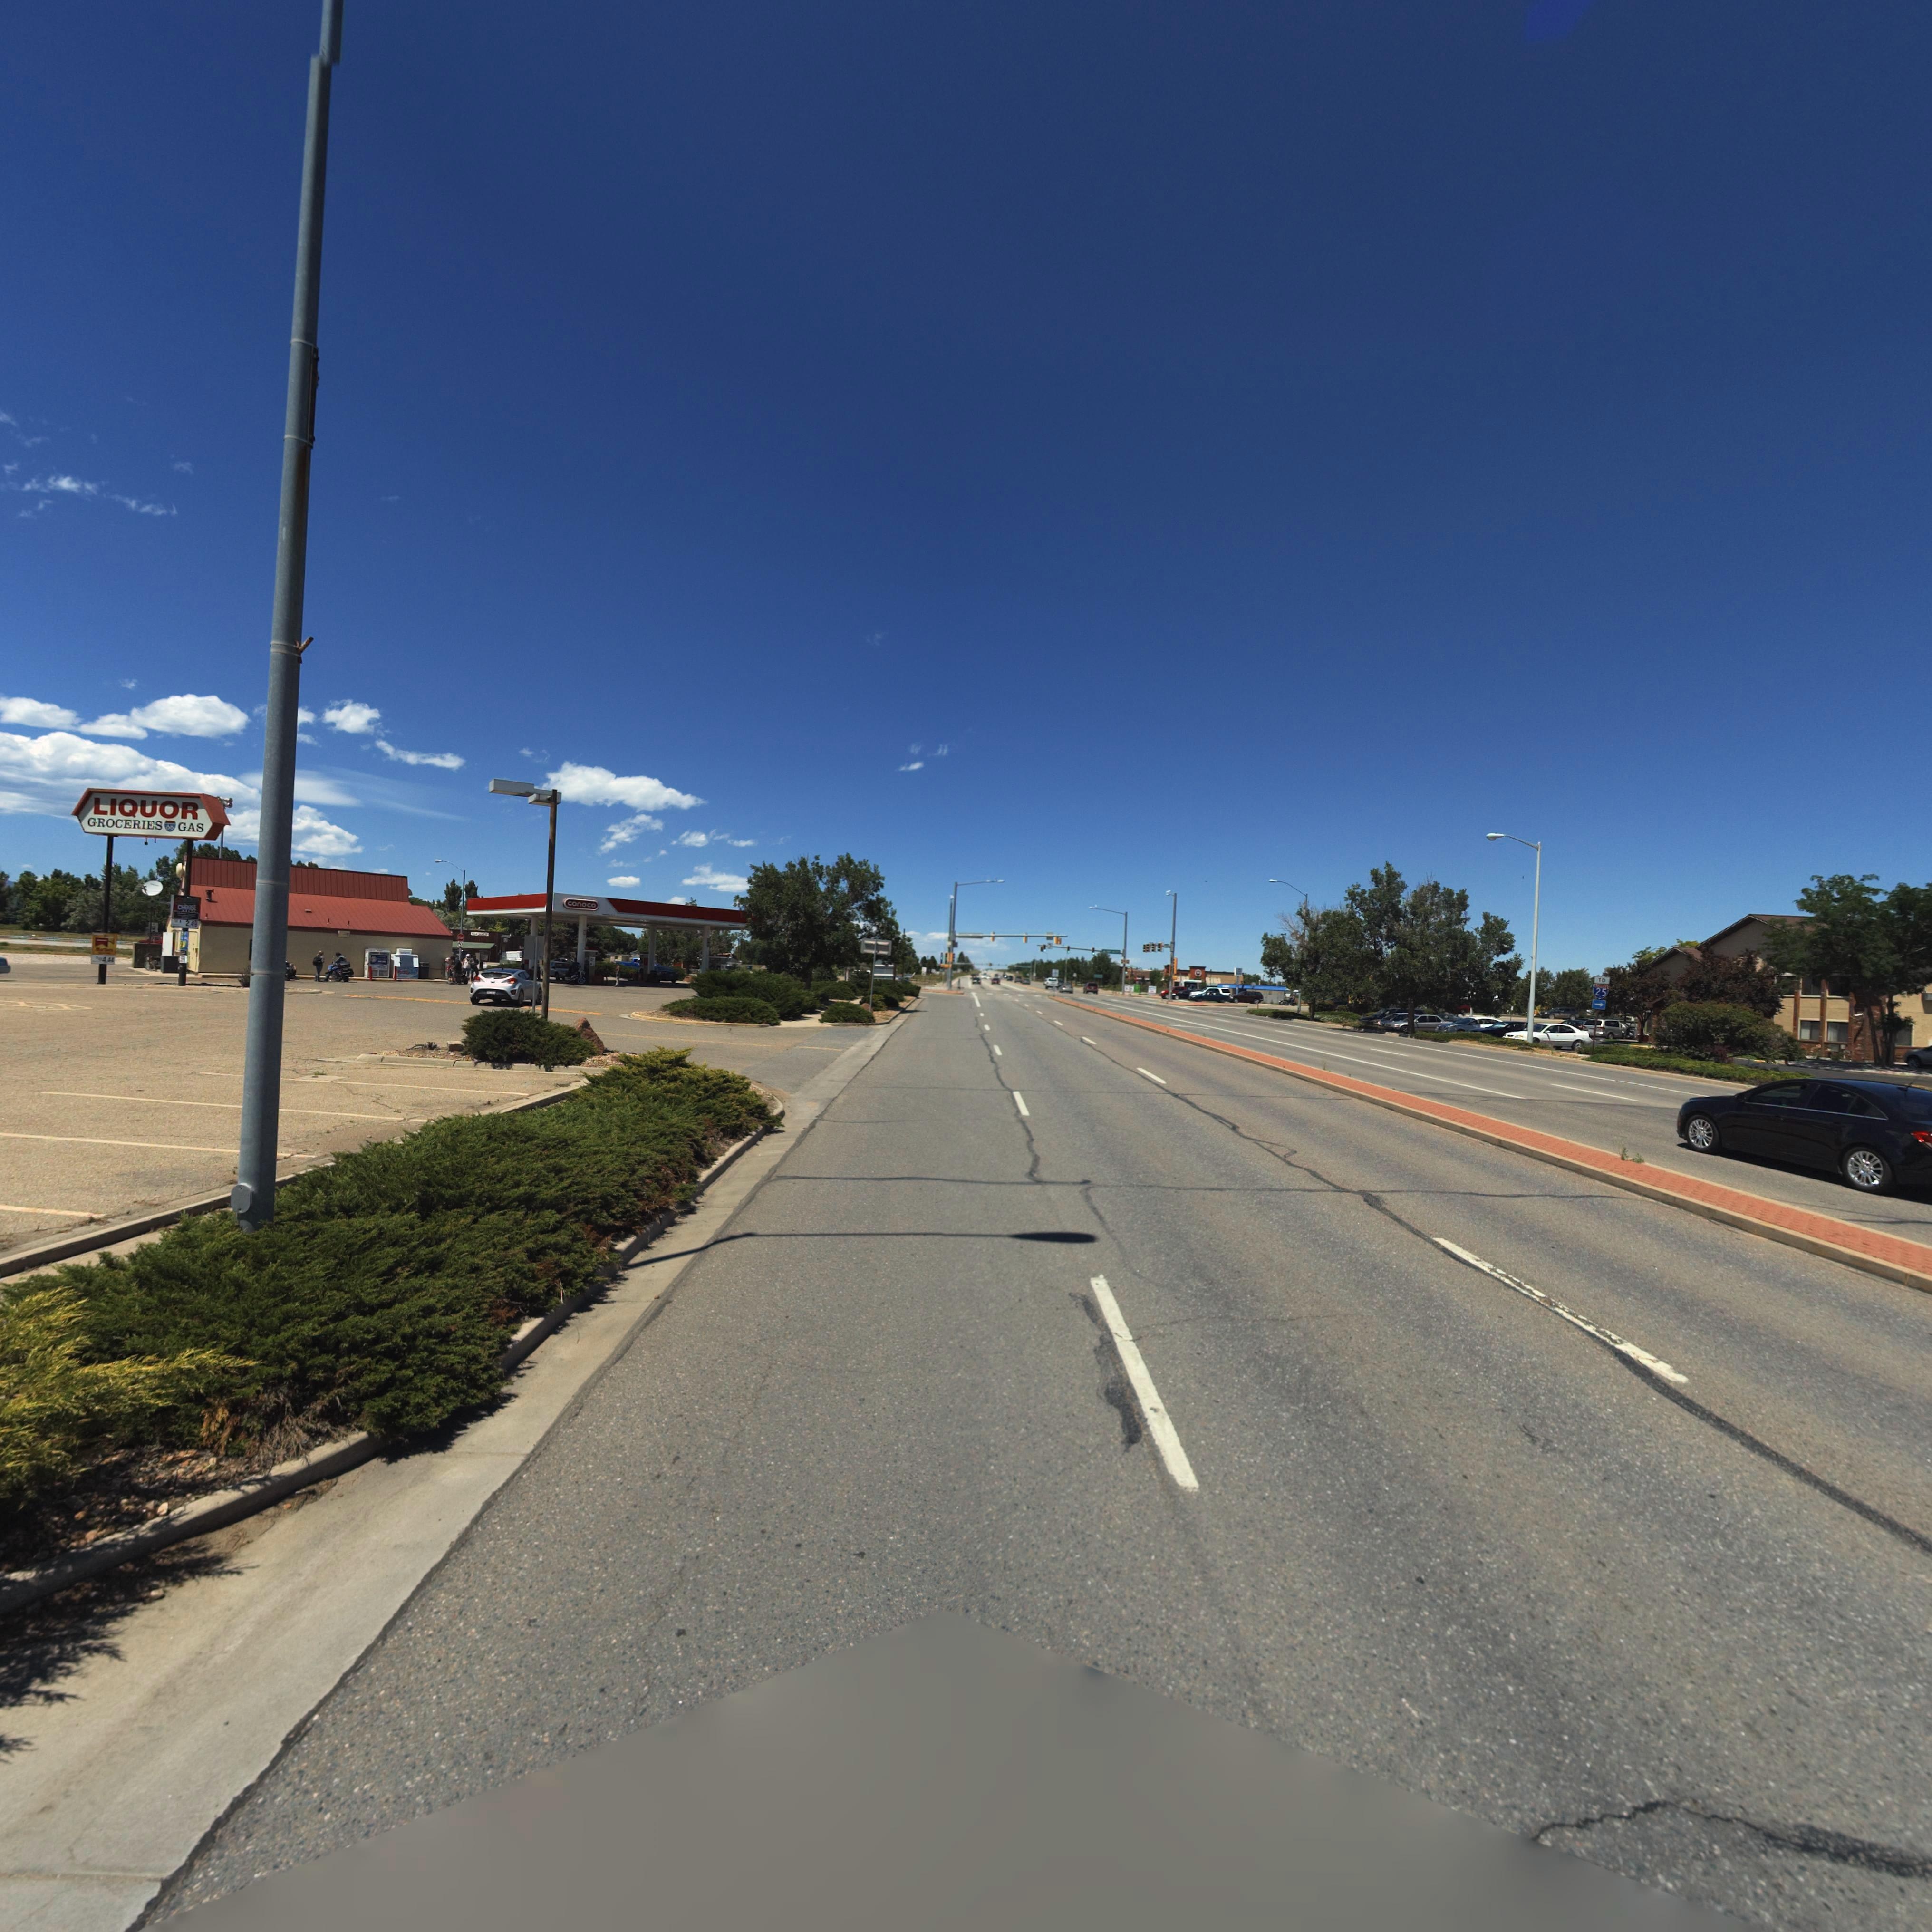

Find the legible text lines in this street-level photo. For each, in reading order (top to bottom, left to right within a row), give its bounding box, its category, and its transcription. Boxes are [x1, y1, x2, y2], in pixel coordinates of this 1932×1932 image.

[567, 901, 596, 908] BusinessName: conoco